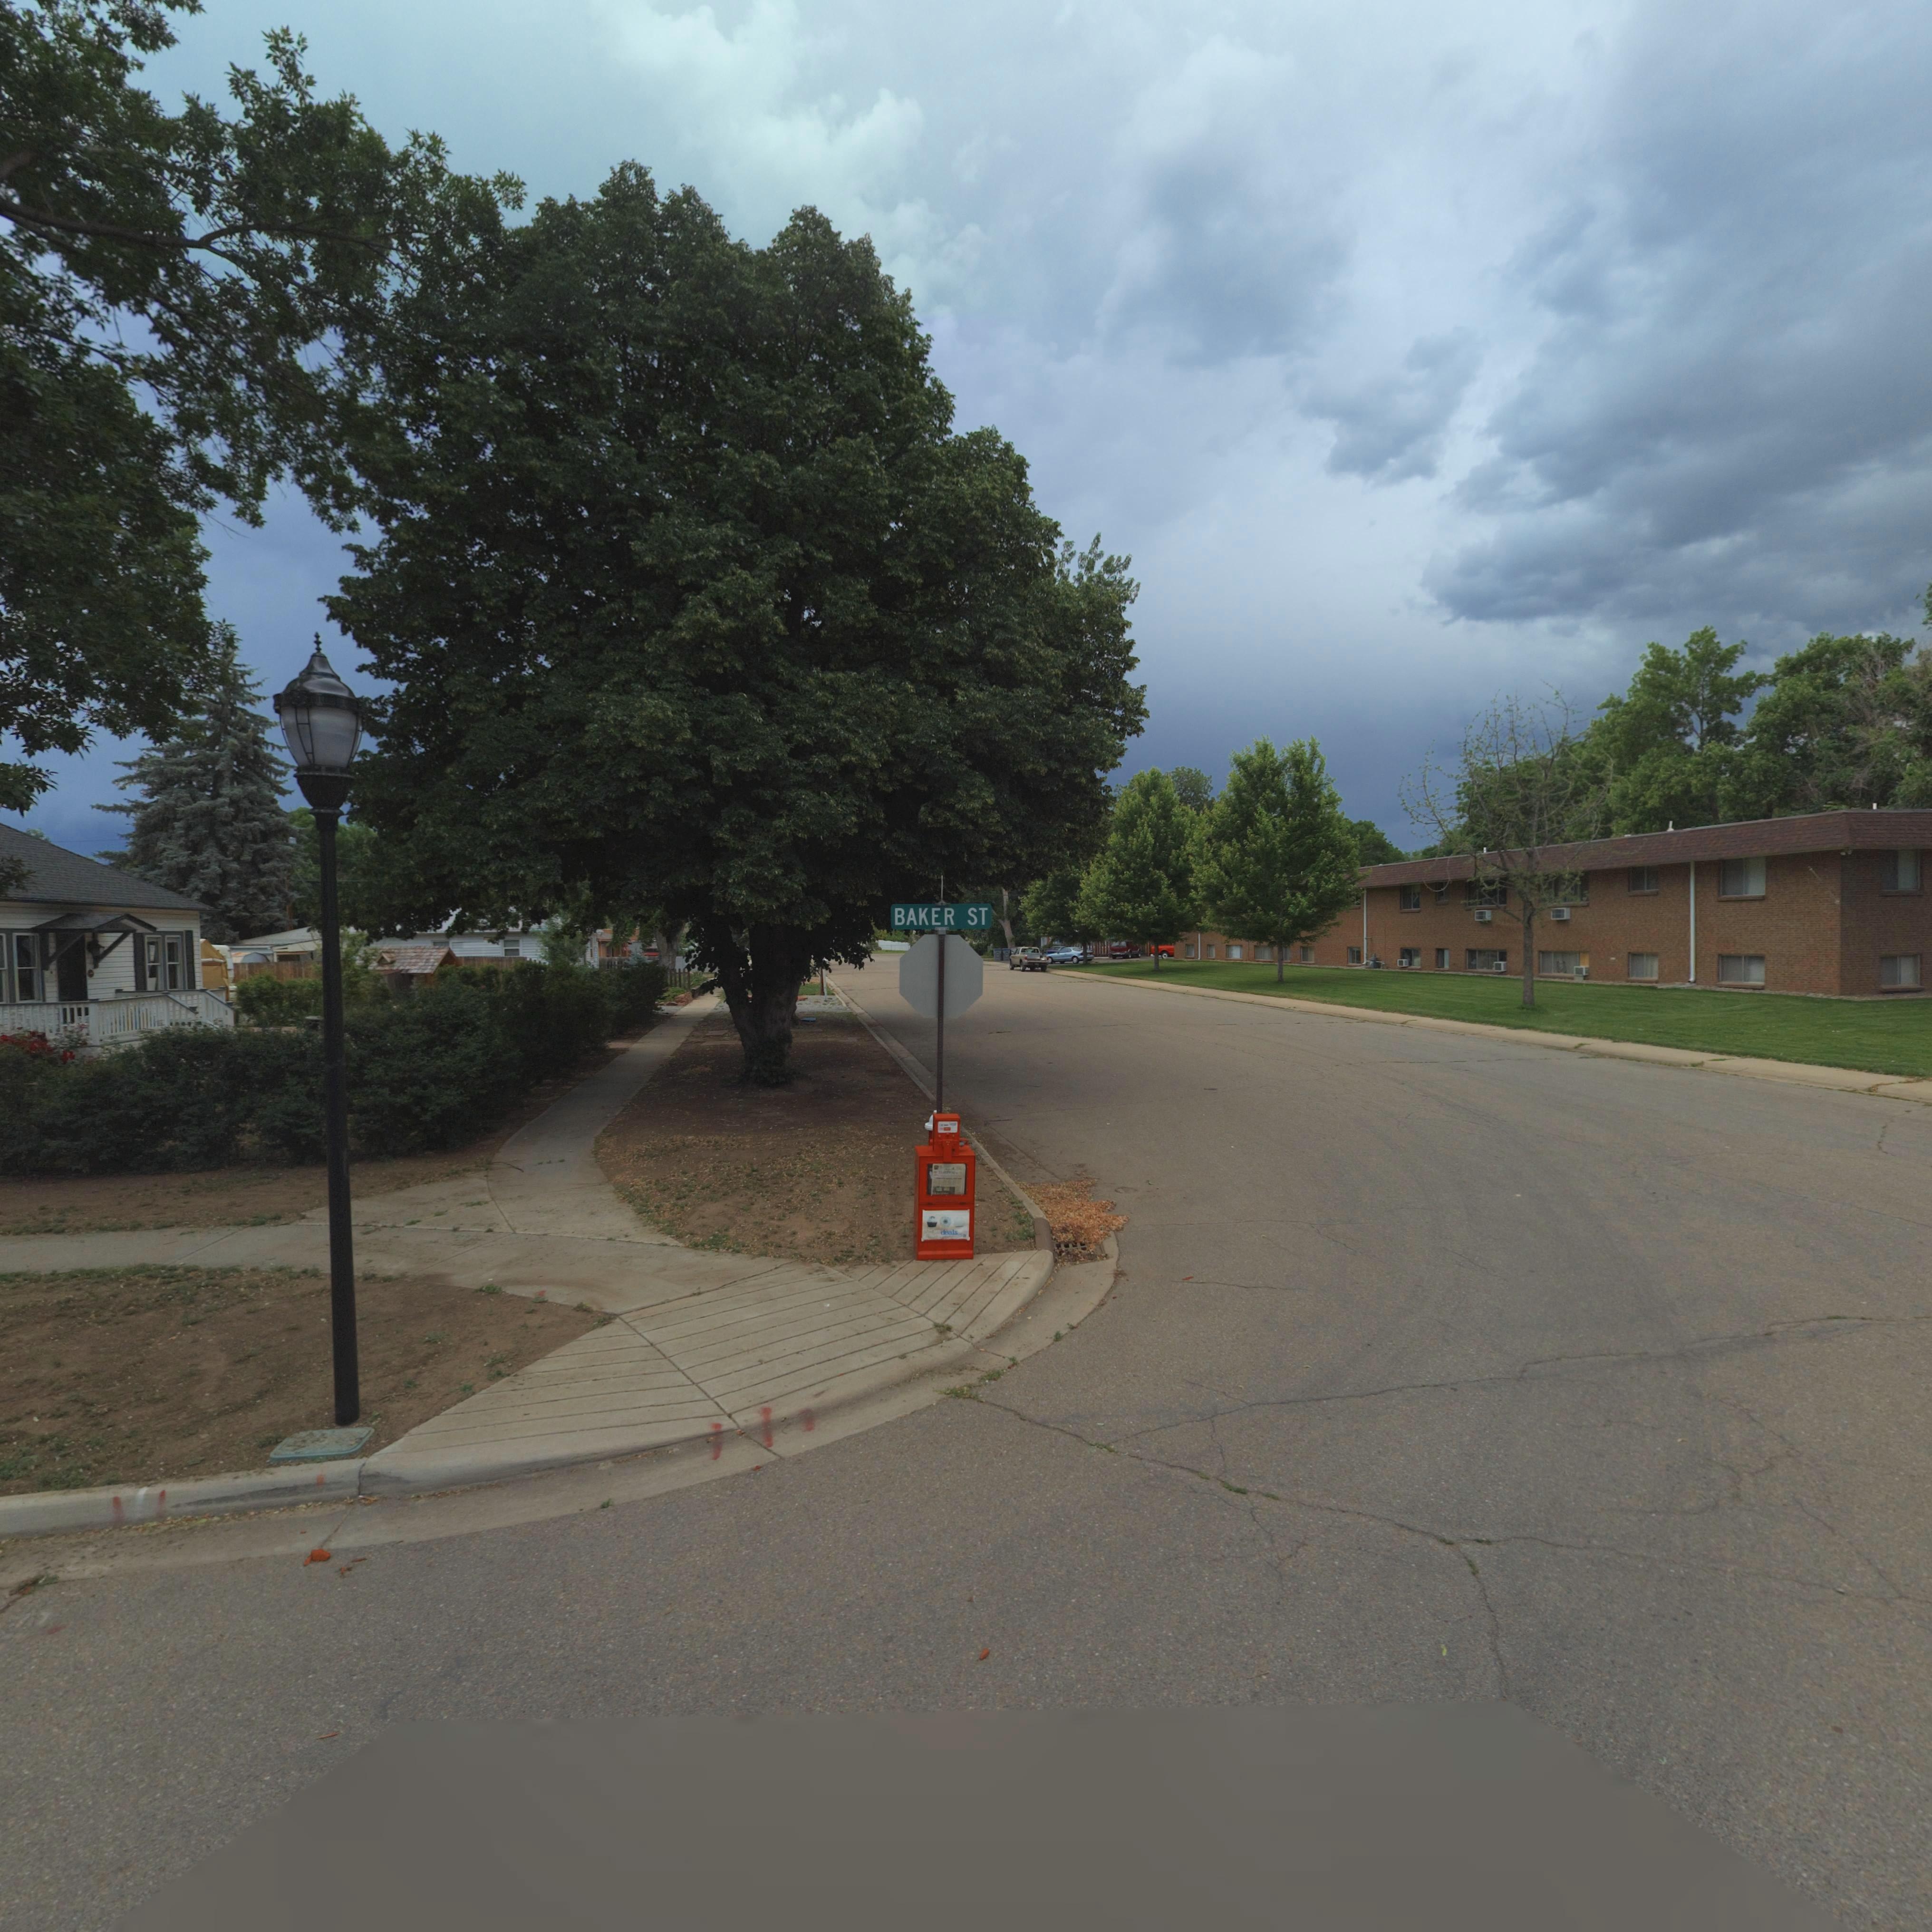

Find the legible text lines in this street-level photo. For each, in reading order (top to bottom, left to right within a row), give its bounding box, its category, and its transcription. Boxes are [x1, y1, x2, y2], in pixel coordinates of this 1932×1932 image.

[895, 908, 987, 925] BusinessName: BAKER ST